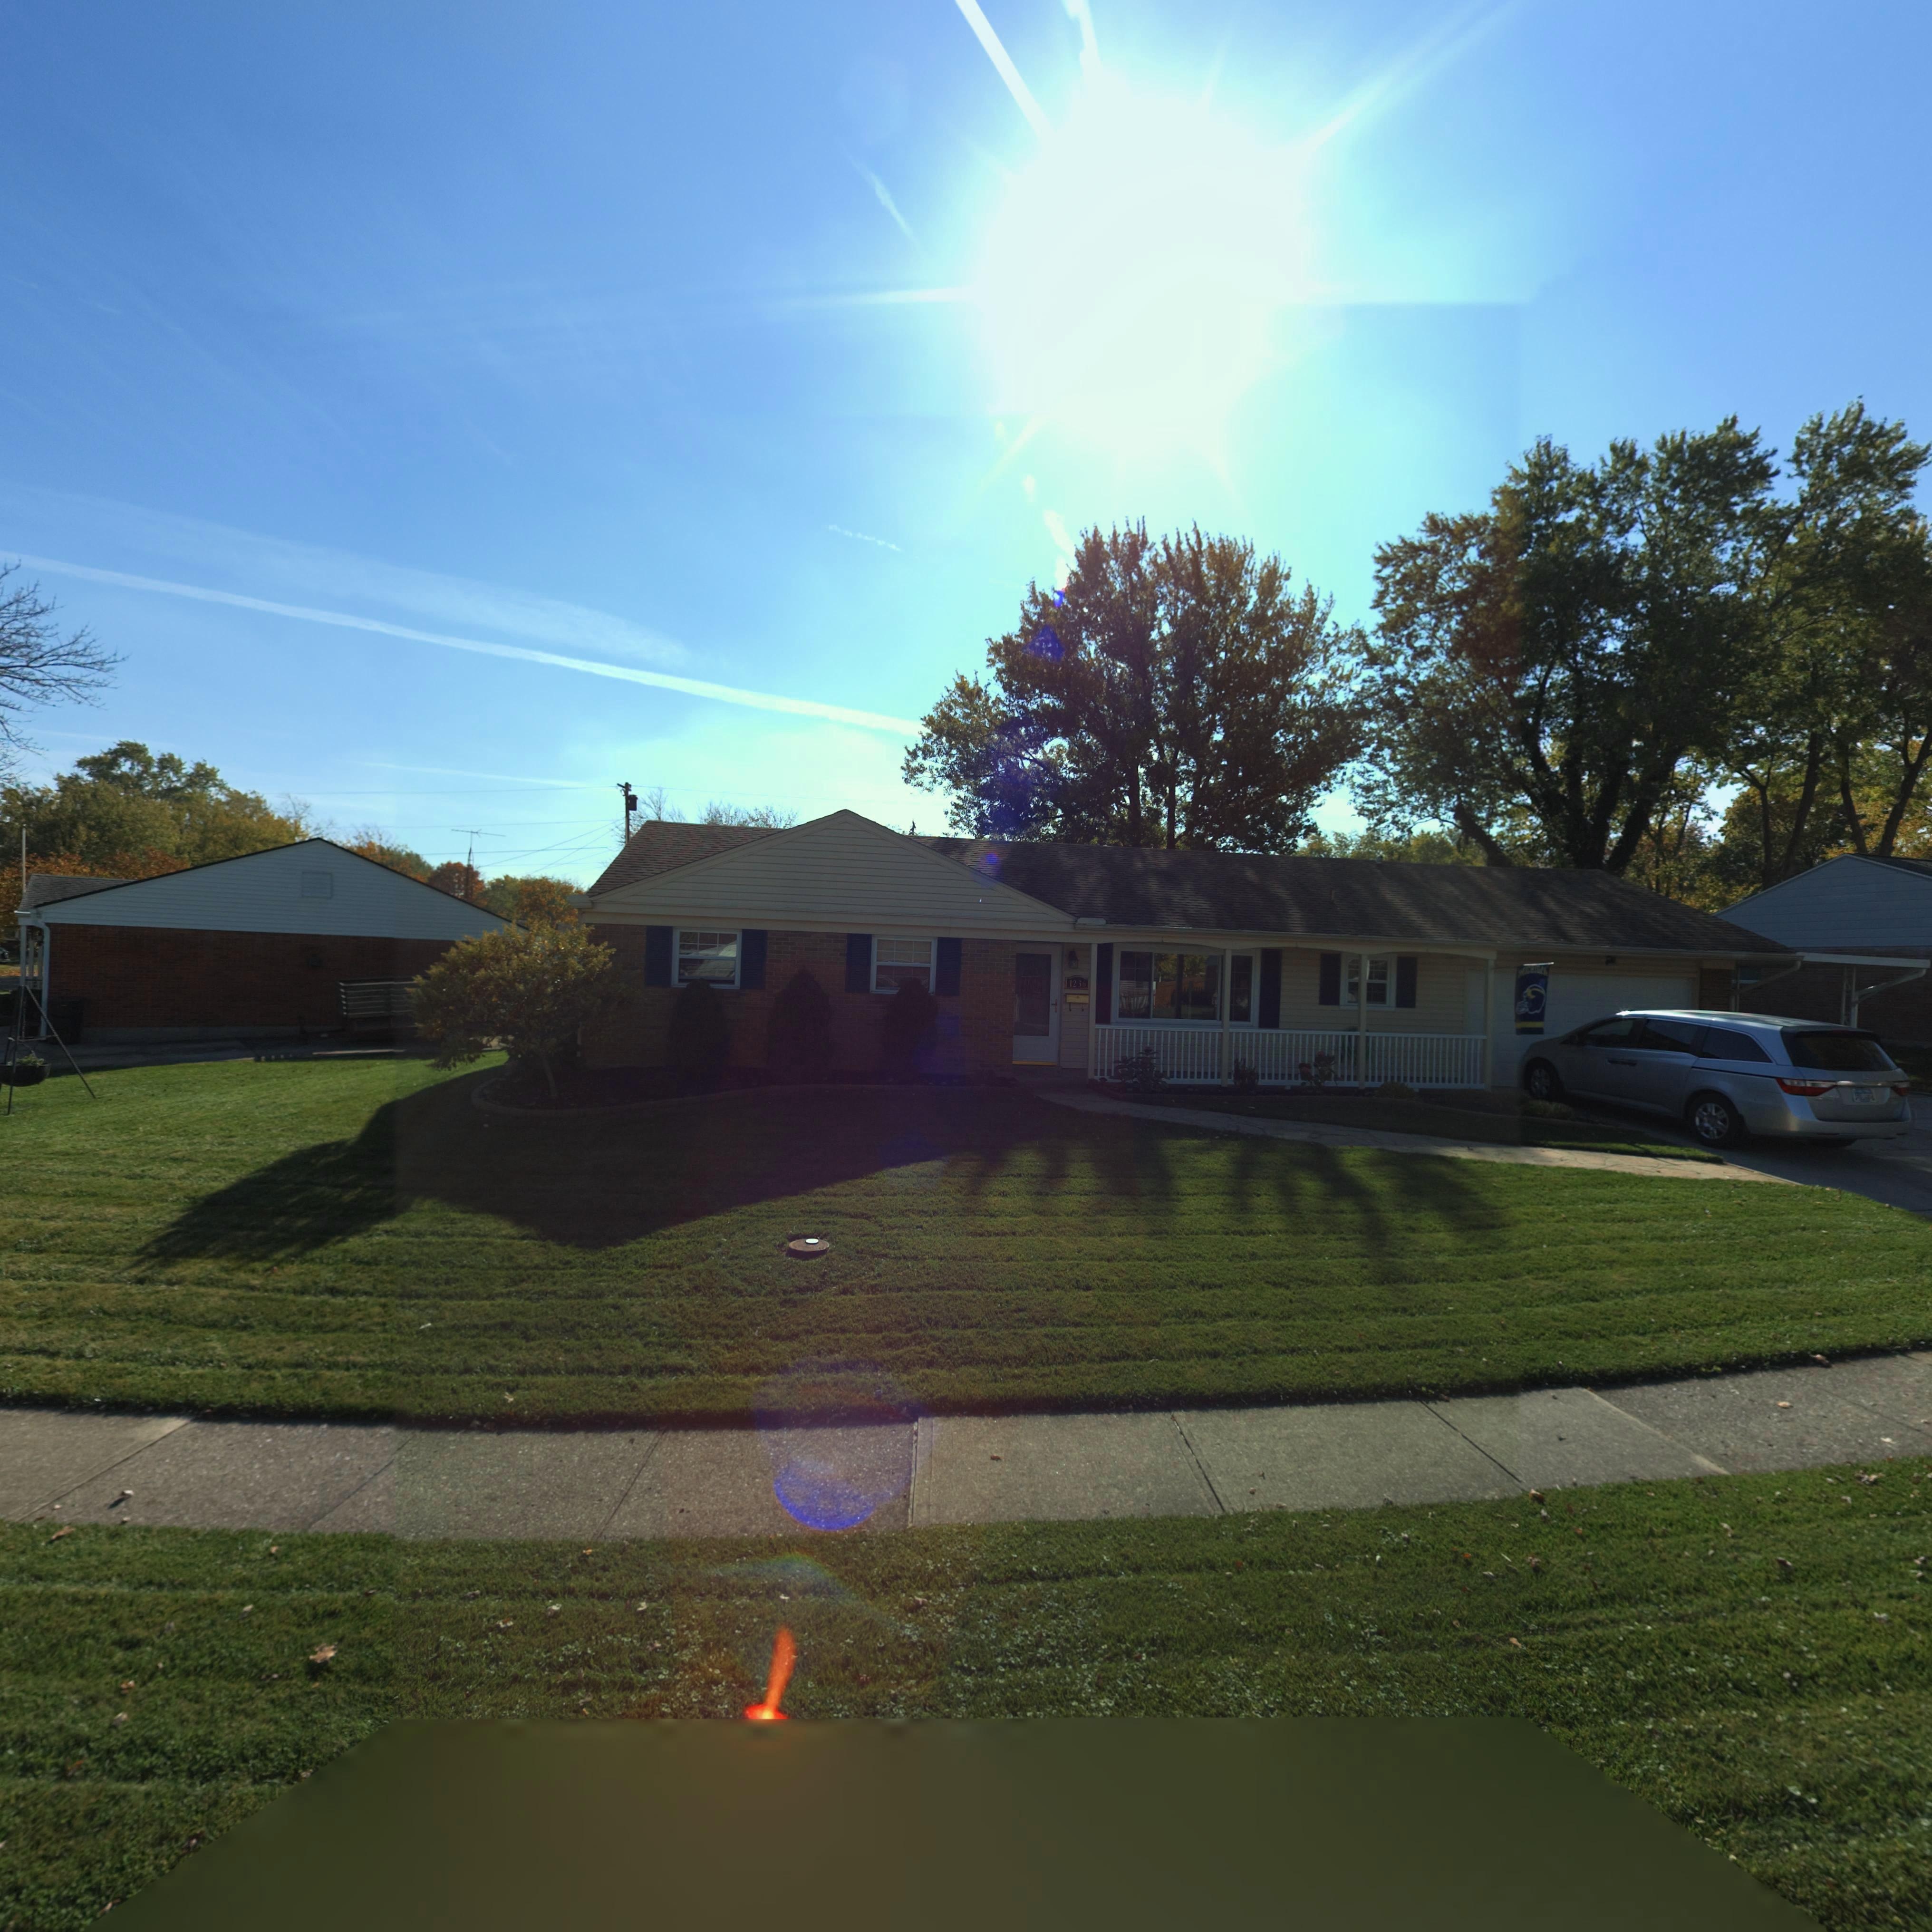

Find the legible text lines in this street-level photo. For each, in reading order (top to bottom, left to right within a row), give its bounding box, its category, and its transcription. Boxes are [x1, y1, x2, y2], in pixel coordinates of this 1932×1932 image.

[1069, 979, 1086, 988] StreetNumber: 1236